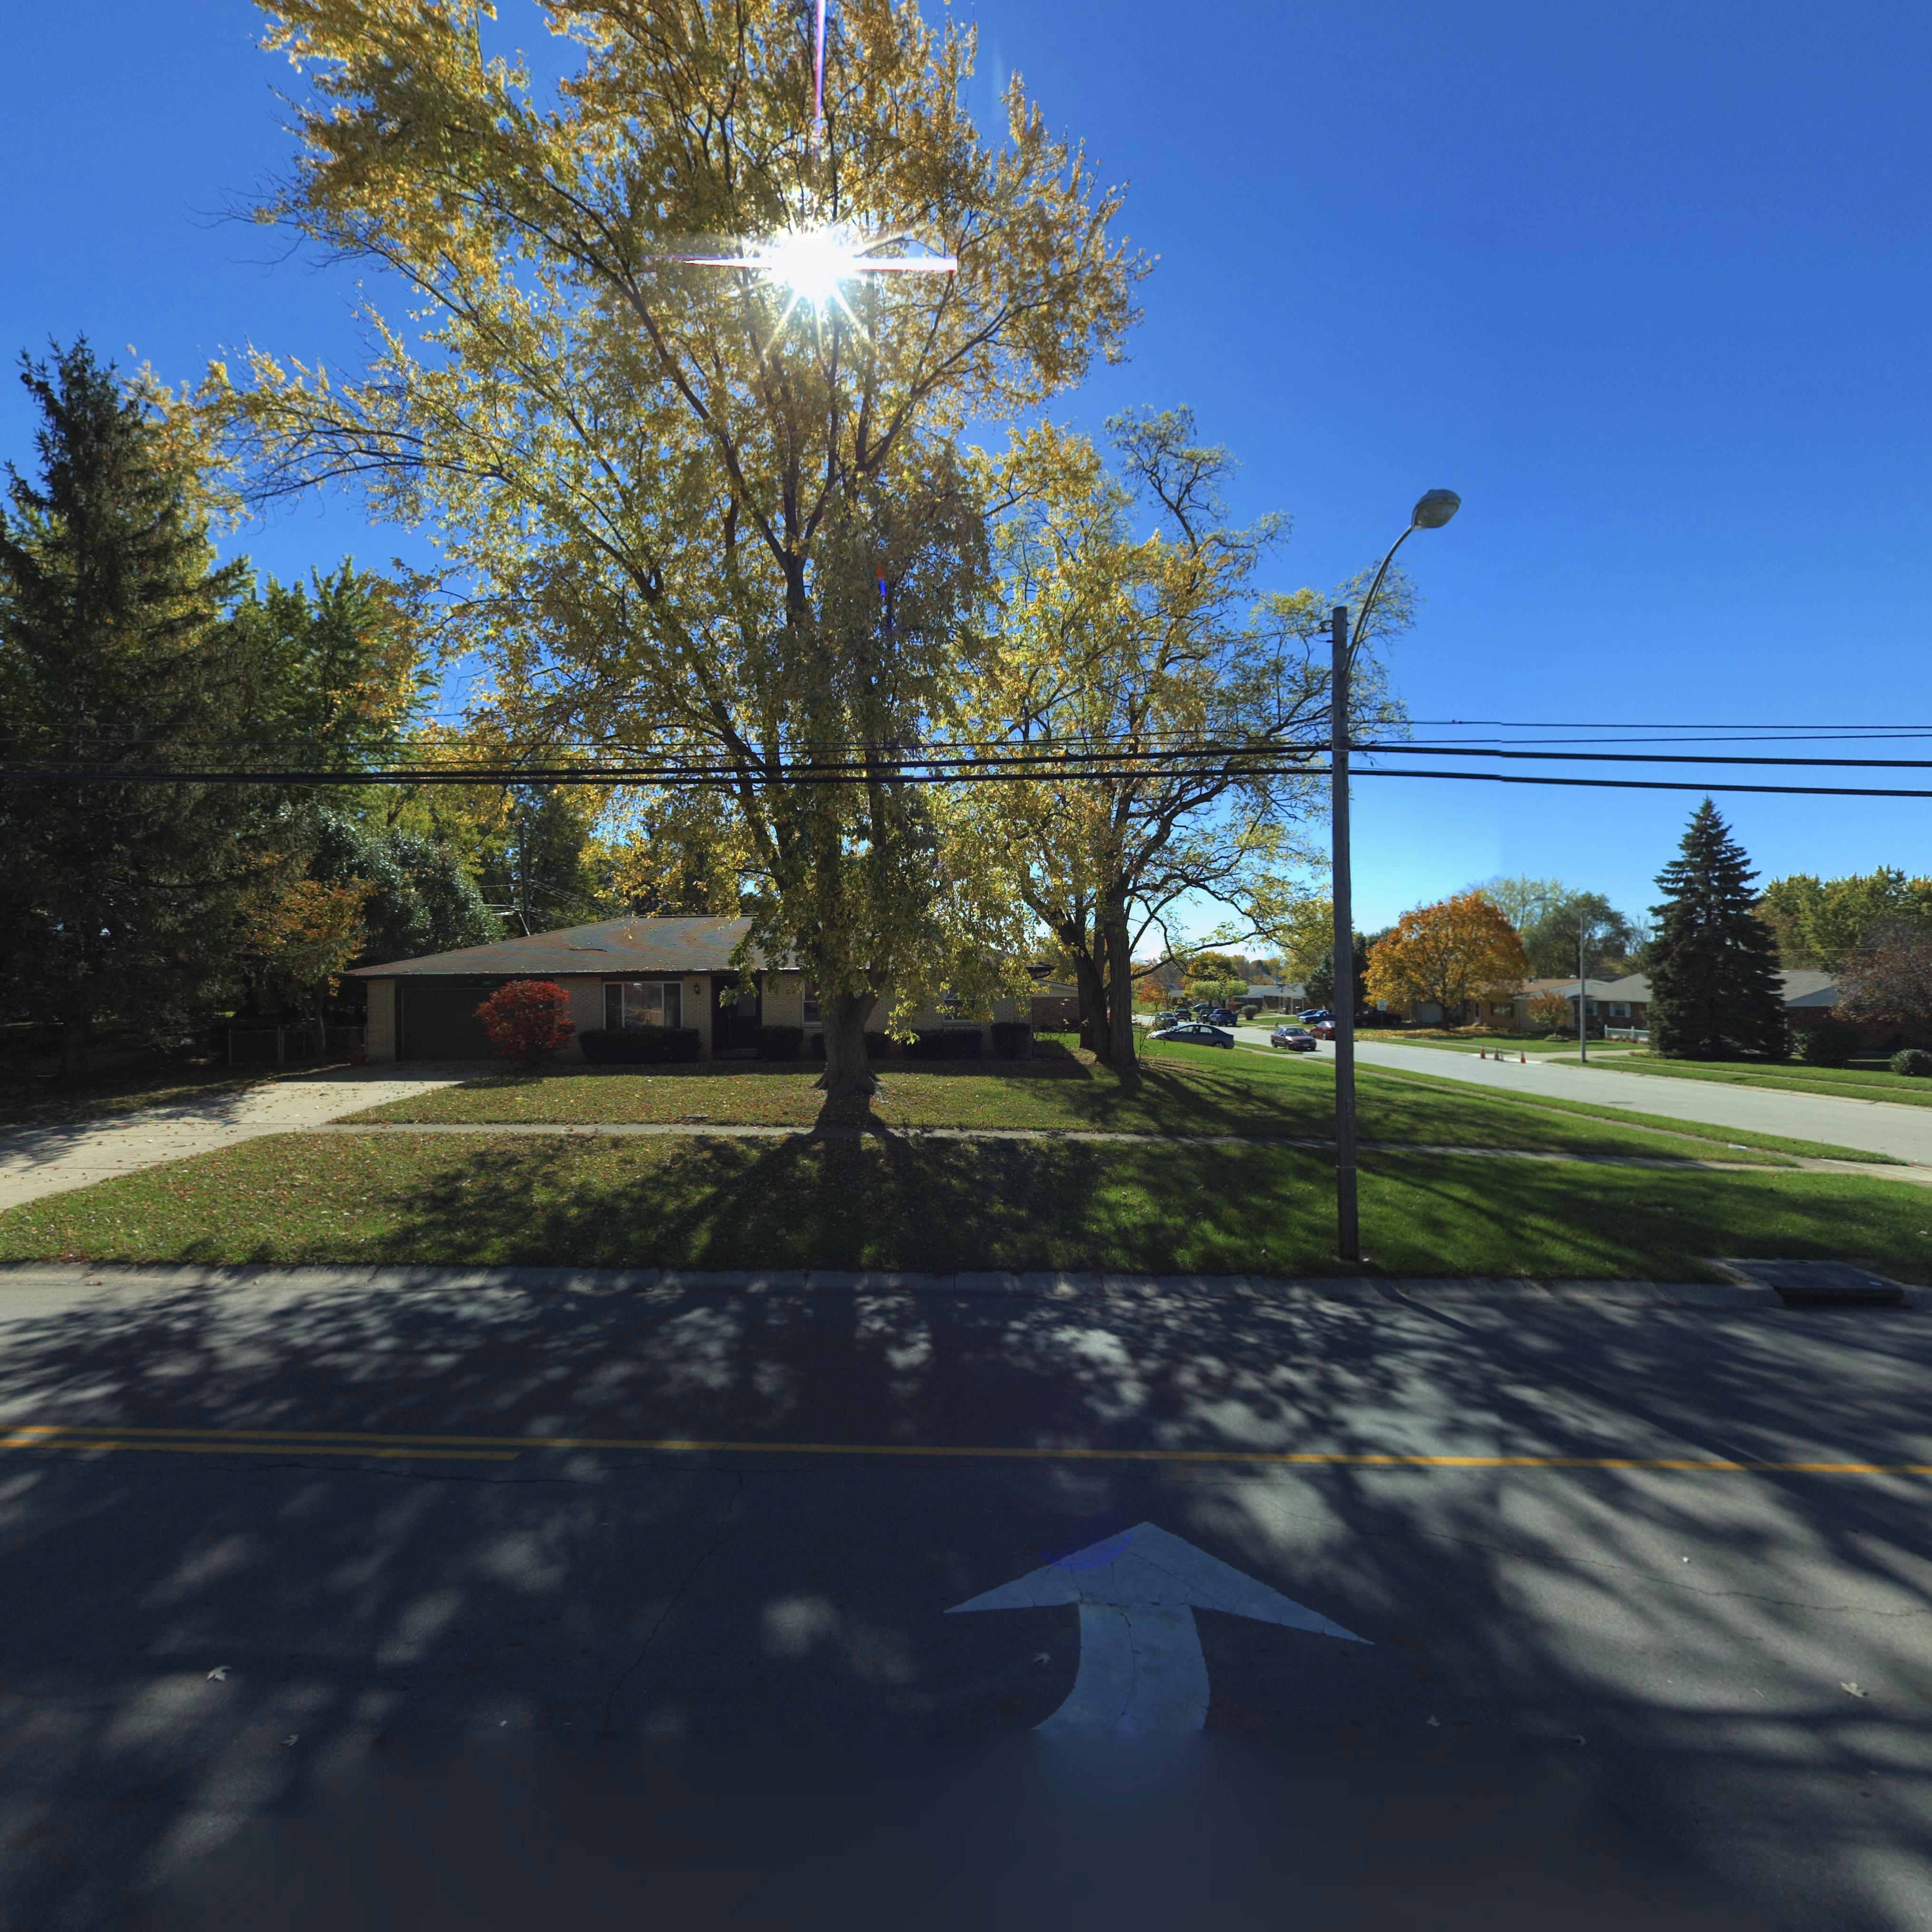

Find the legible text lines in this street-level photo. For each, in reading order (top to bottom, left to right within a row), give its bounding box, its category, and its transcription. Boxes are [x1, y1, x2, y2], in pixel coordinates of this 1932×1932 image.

[483, 981, 491, 985] StreetNumber: 6*2